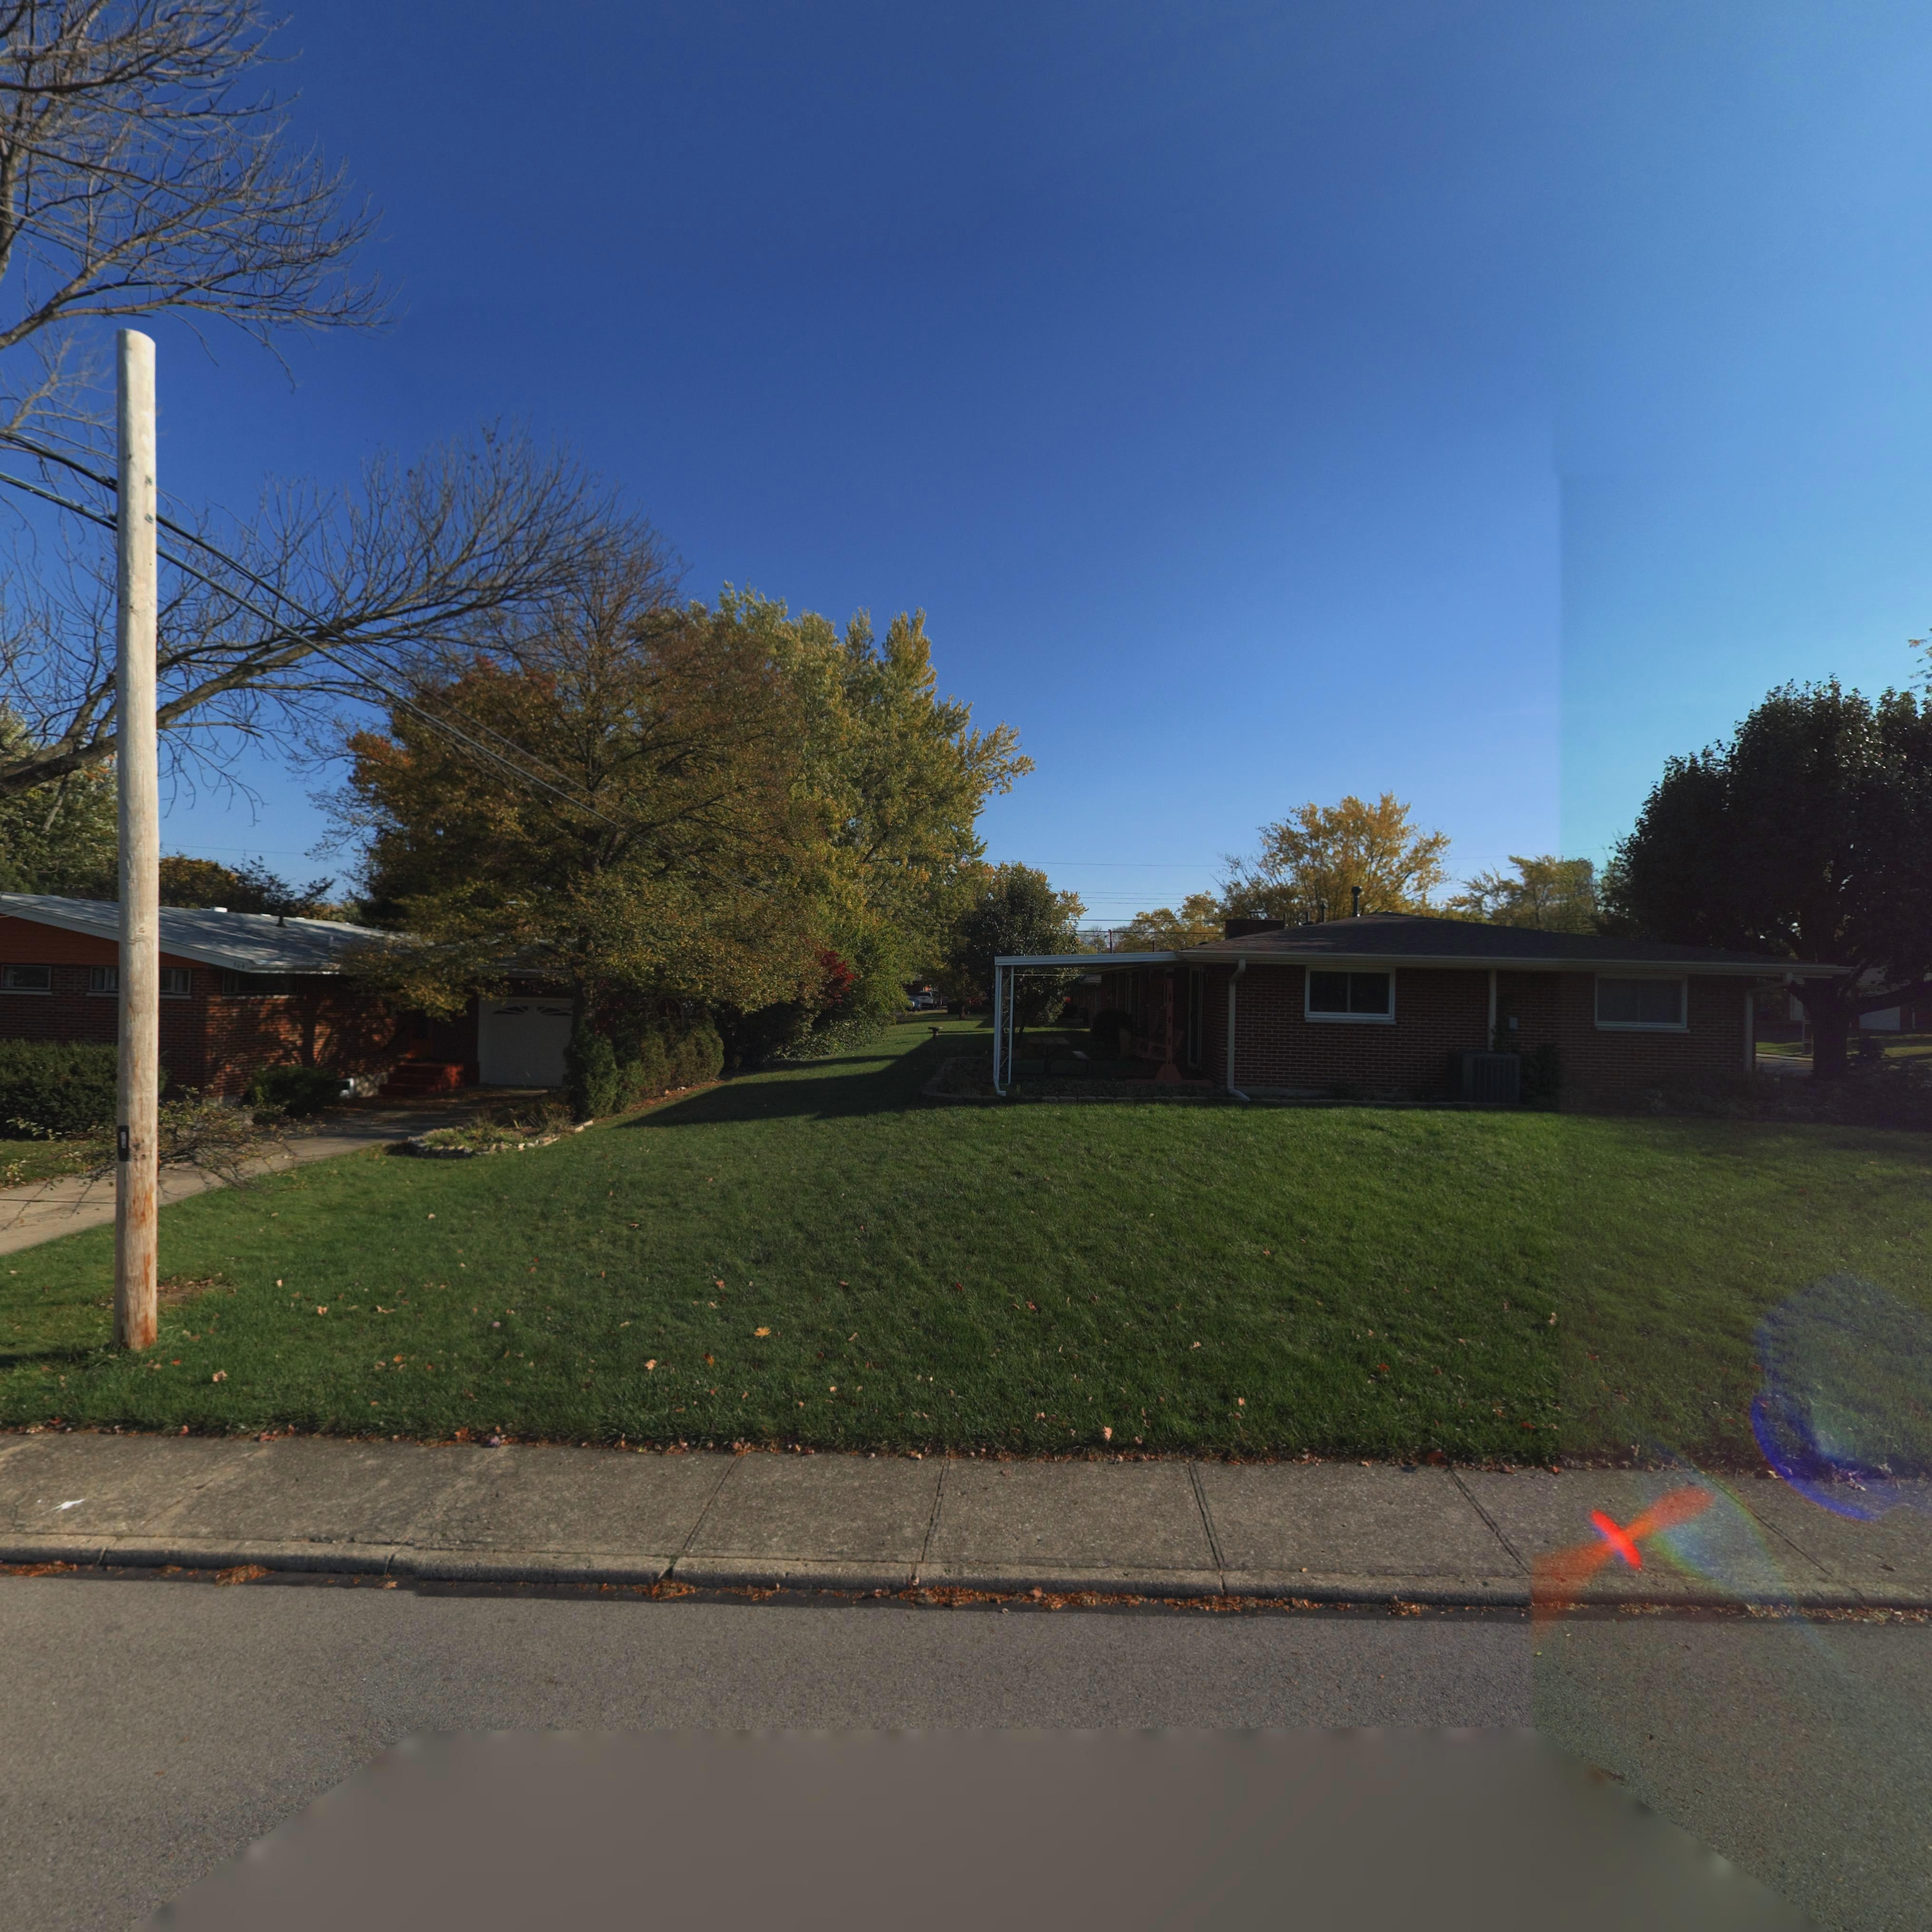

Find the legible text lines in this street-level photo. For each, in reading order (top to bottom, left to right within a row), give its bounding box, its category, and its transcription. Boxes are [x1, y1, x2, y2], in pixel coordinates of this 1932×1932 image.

[232, 961, 247, 971] StreetNumber: *04